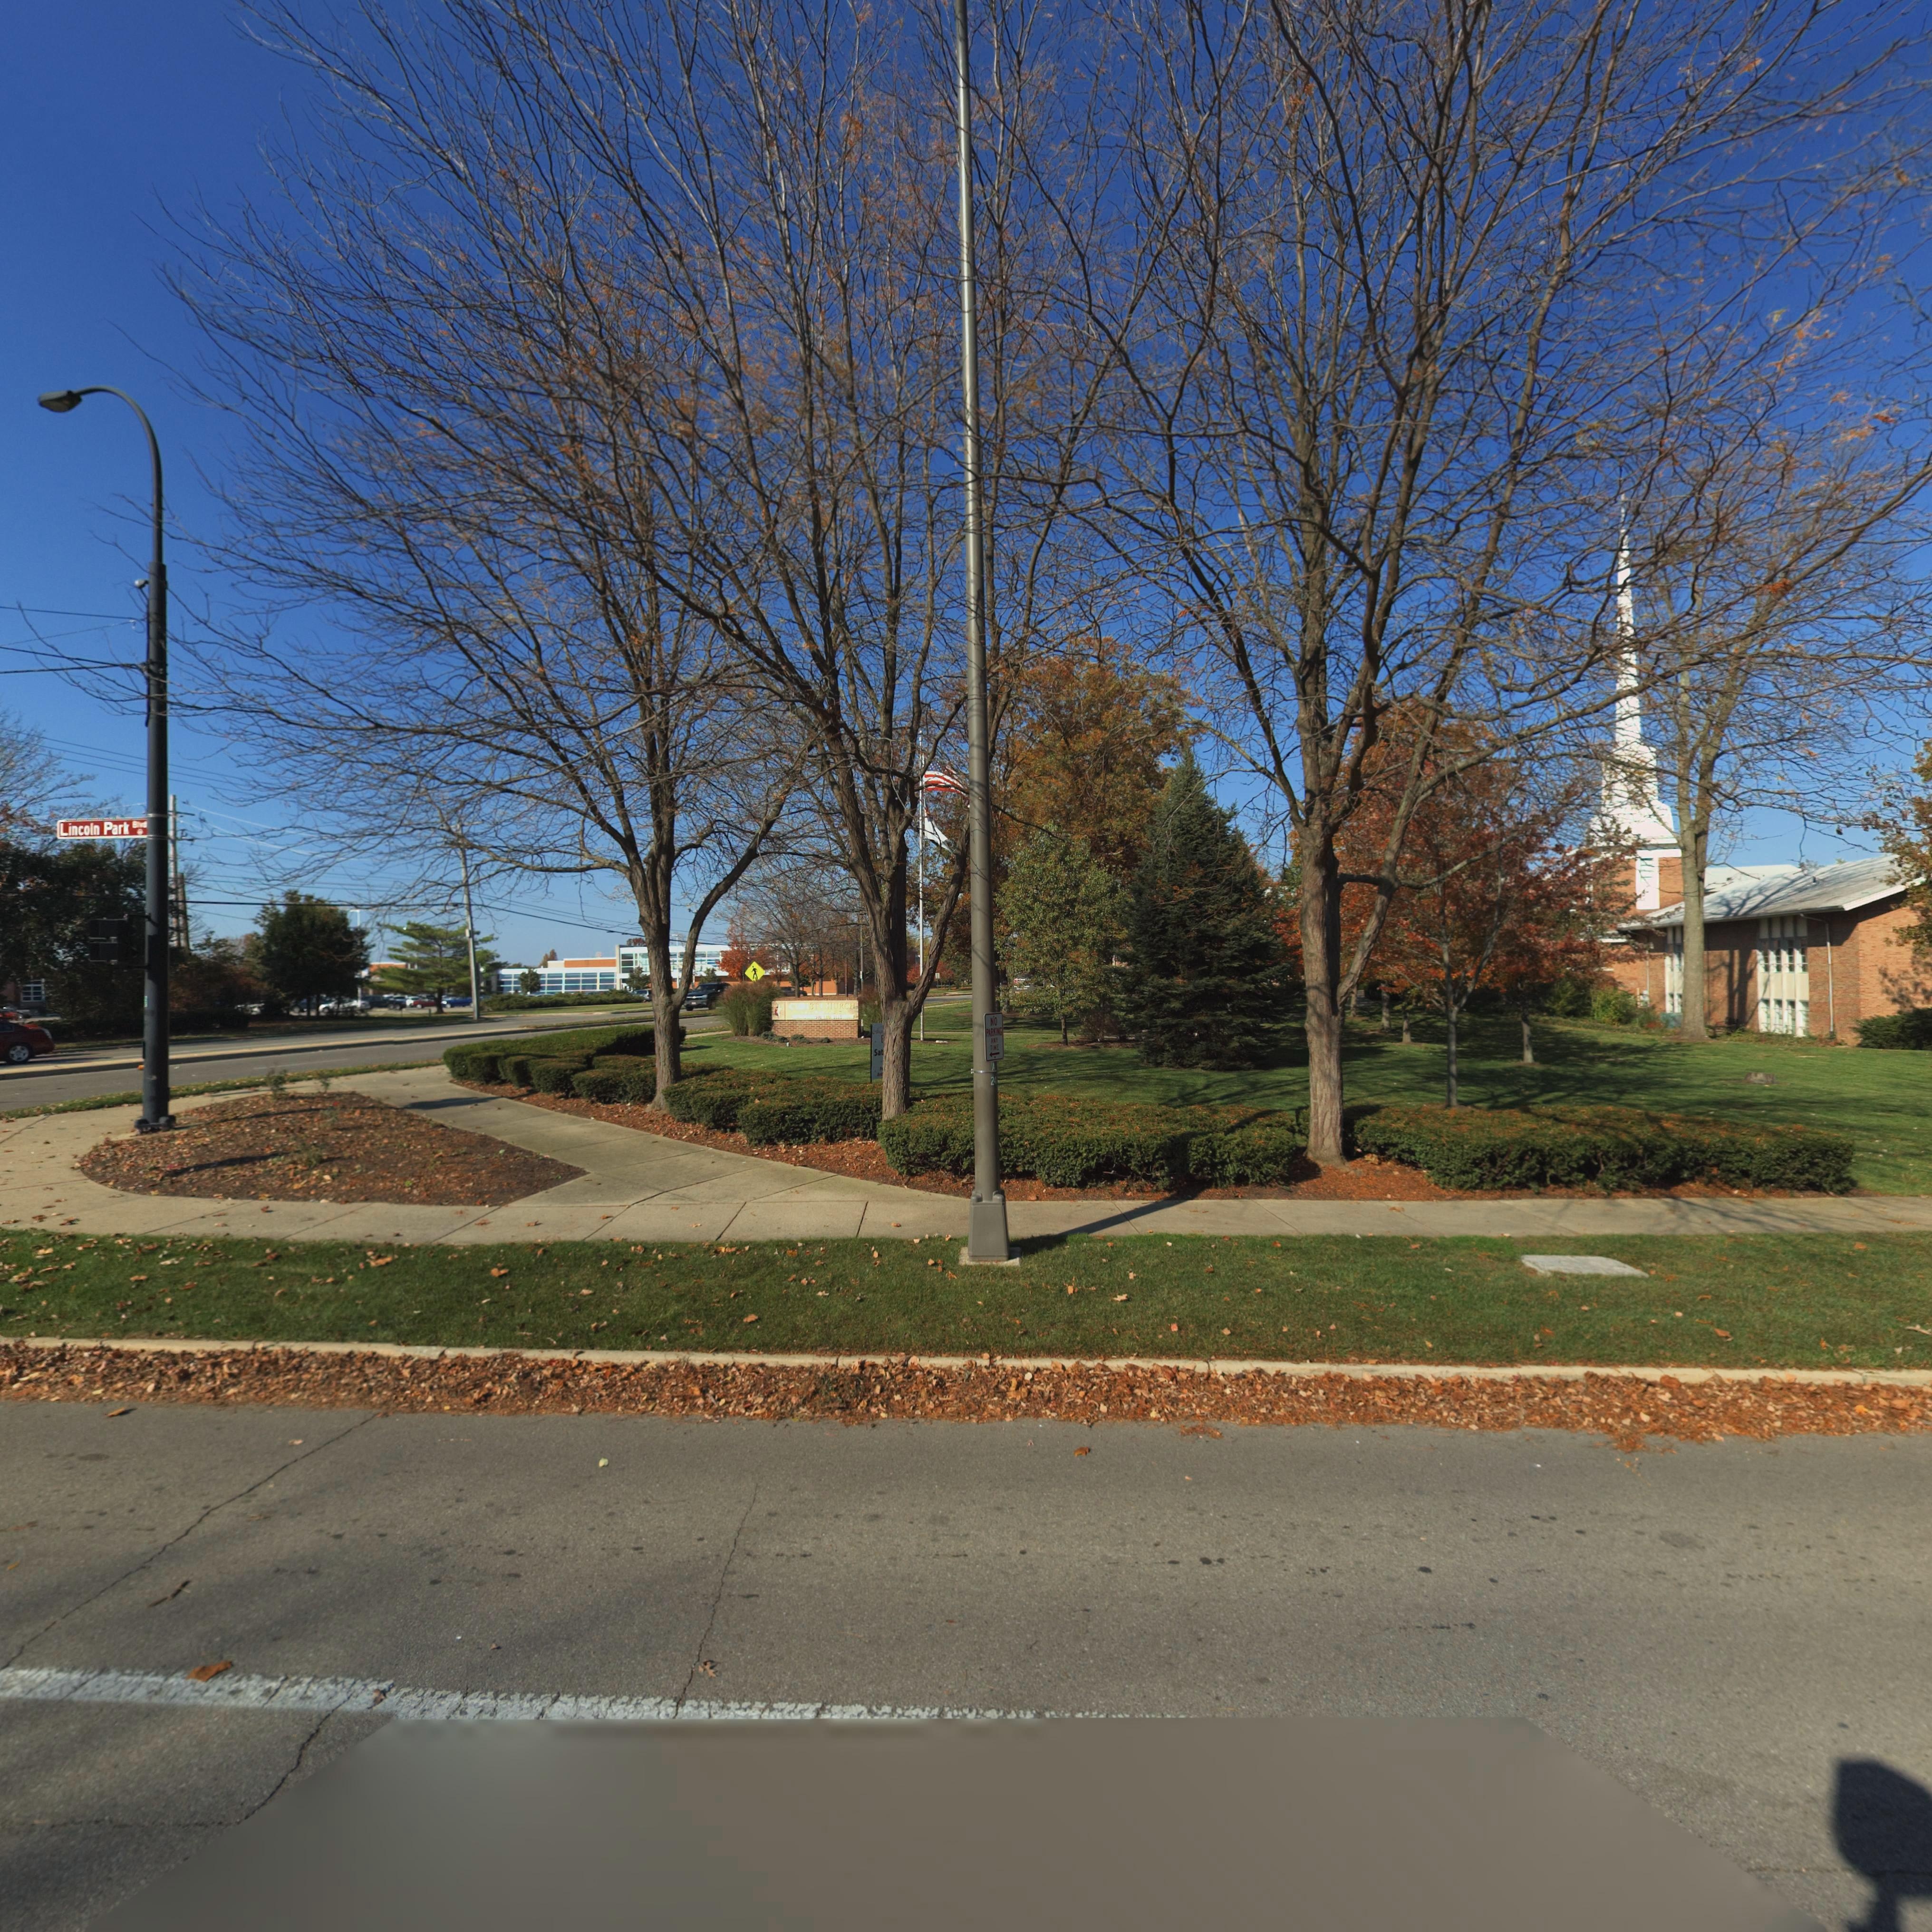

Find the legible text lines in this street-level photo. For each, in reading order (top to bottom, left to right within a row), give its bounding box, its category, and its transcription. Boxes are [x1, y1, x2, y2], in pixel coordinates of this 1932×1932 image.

[60, 821, 147, 837] StreetName: Lincoln Park Blvd
[788, 1002, 857, 1009] BusinessName: CHIRST CHURCH
[990, 1017, 998, 1026] None: NO
[985, 1027, 1002, 1037] None: PARKING
[990, 1038, 998, 1044] None: ANY
[989, 1044, 999, 1051] None: TIME
[874, 1048, 881, 1057] None: Sa
[992, 1062, 996, 1071] None: A
[990, 1076, 997, 1085] None: 24